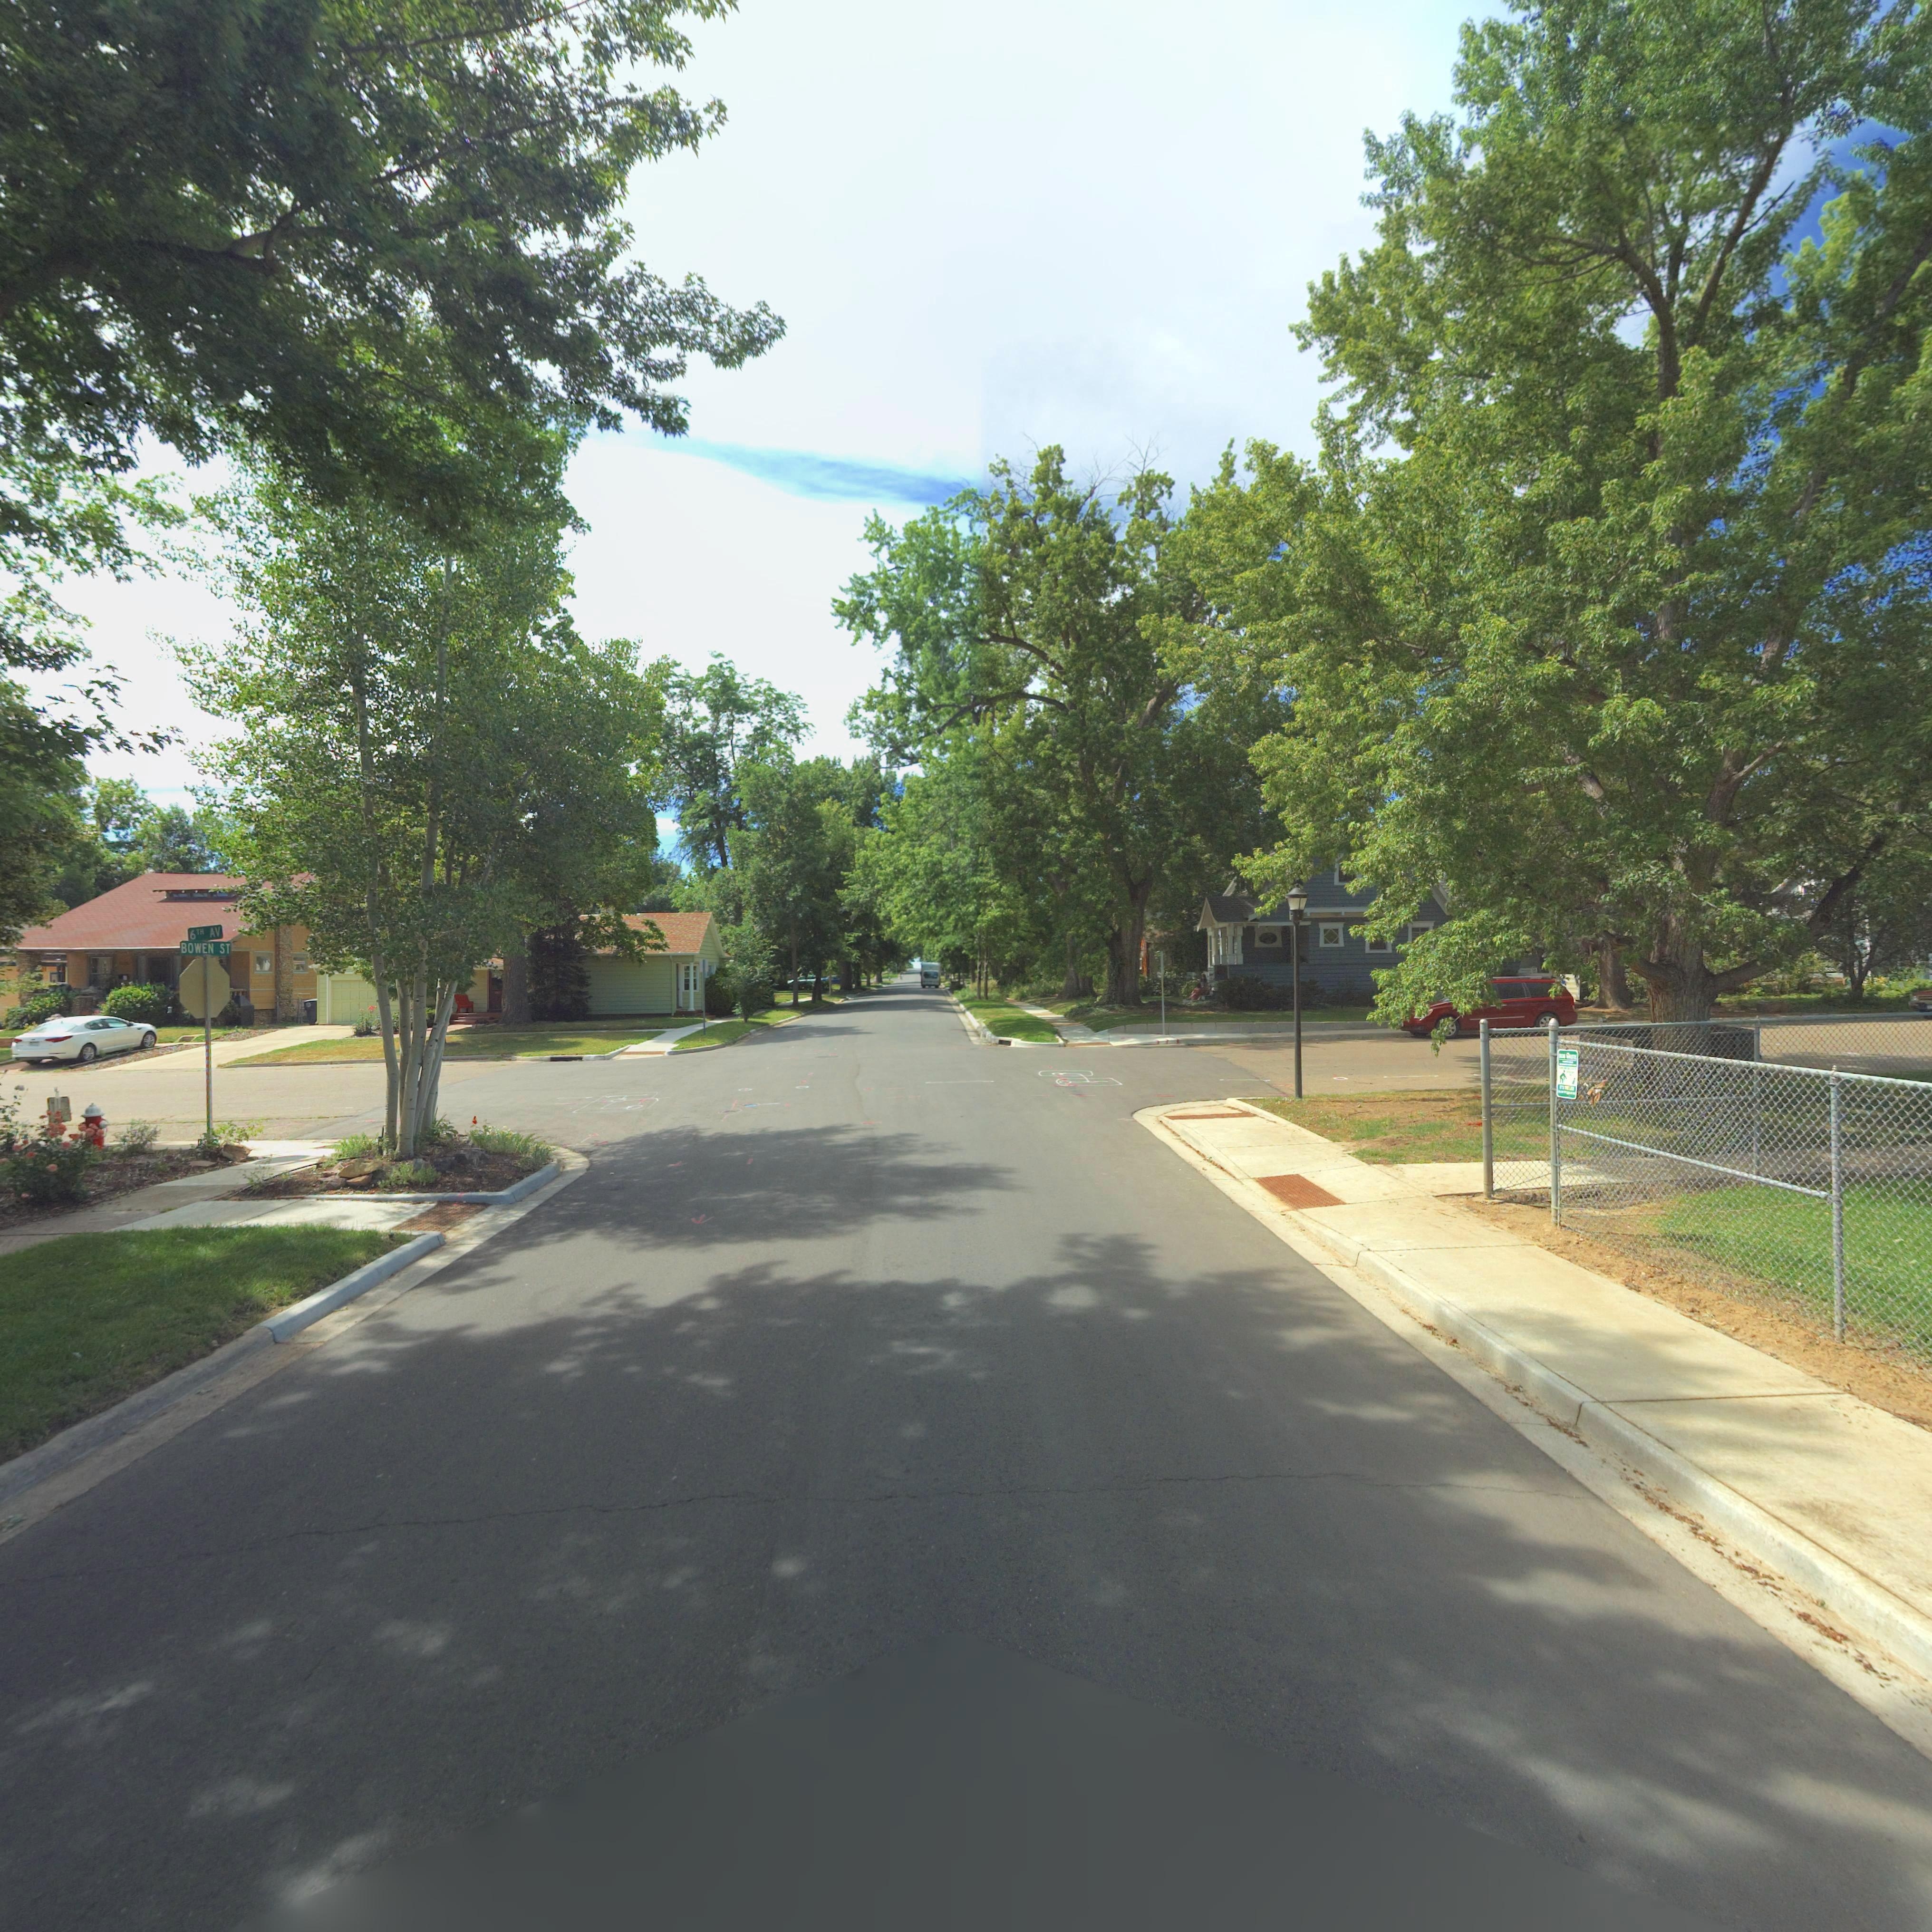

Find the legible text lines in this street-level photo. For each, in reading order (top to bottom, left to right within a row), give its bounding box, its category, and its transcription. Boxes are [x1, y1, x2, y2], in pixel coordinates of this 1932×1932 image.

[189, 926, 221, 941] StreetName: 6TH AV
[180, 942, 231, 955] StreetName: BOWEN ST